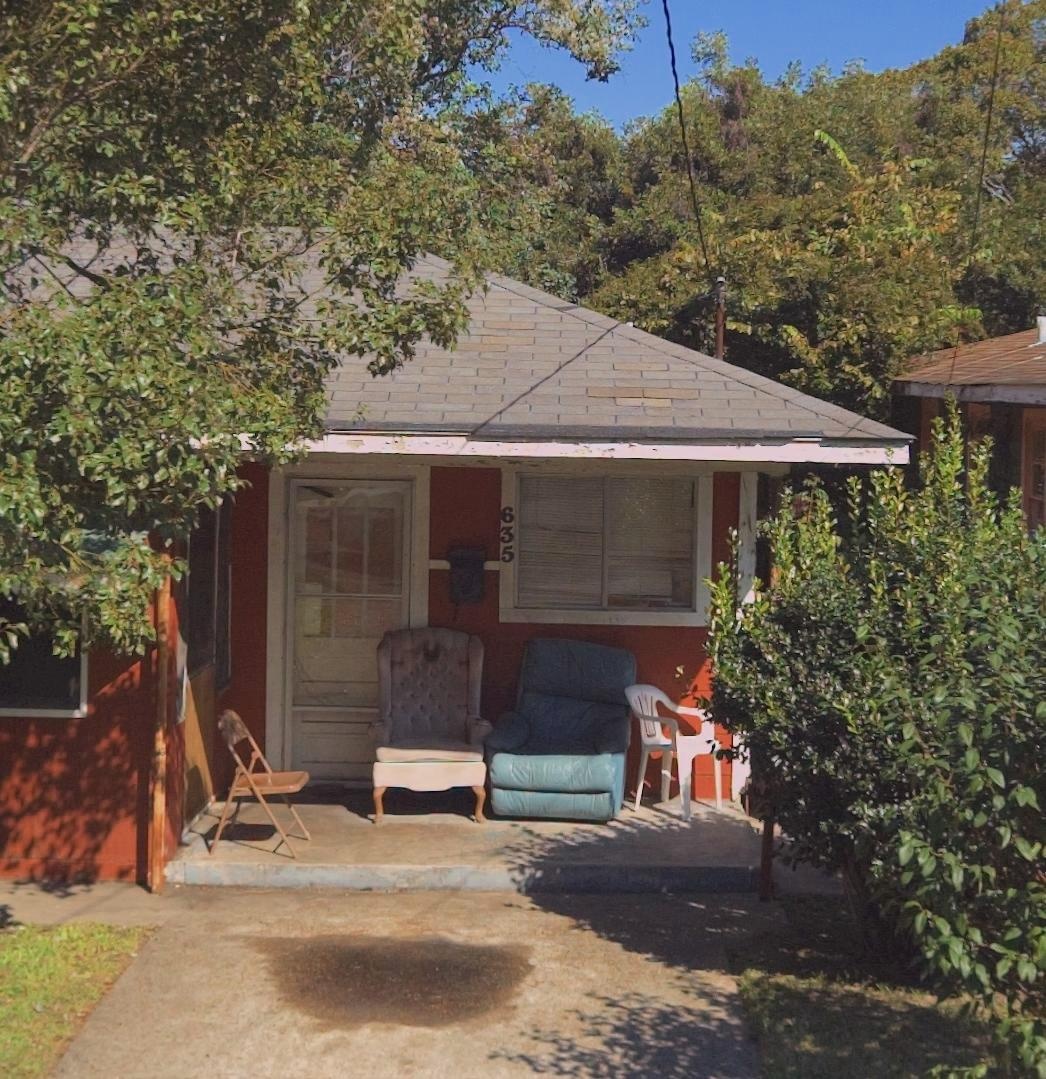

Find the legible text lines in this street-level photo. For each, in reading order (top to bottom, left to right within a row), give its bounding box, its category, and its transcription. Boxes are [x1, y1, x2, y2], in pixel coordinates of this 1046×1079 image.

[499, 502, 518, 568] StreetNumber: 635